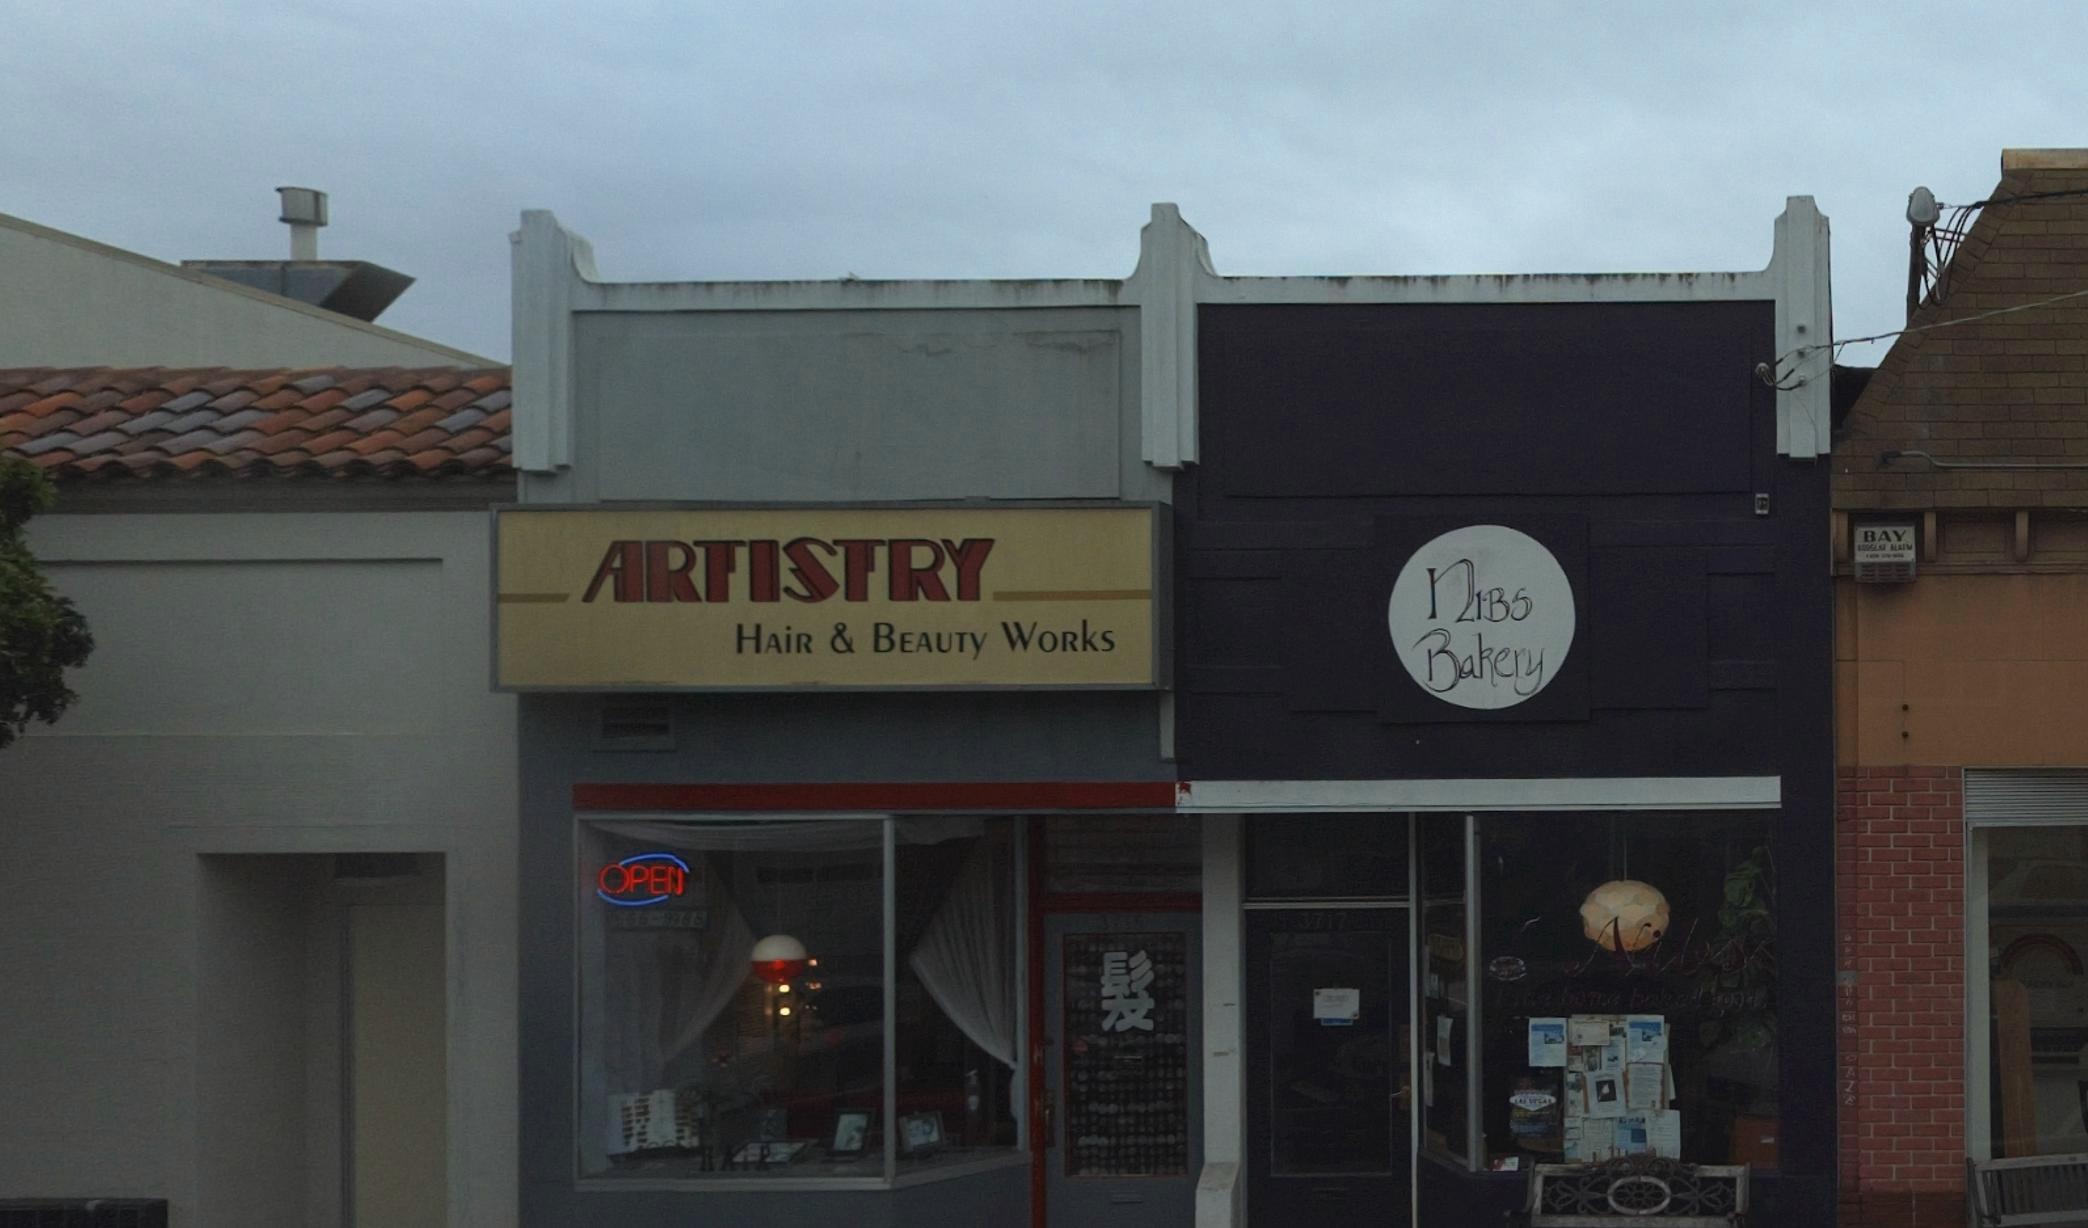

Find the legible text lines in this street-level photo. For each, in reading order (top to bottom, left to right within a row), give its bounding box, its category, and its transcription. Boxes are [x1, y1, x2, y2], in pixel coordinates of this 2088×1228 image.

[1861, 528, 1908, 544] None: BAY
[574, 534, 1000, 607] BusinessName: ARTISTRY
[1422, 554, 1537, 626] BusinessName: nIBS
[731, 615, 1120, 664] BusinessName: HAIR & BEAUTY WORKS
[1408, 624, 1548, 699] BusinessName: Bakery
[595, 861, 689, 899] None: OPEN
[613, 909, 705, 931] None: *66-**88
[1091, 913, 1146, 933] StreetNumber: 3**5
[1294, 911, 1349, 933] StreetNumber: 3717
[1555, 908, 1752, 985] BusinessName: Nibs
[1492, 981, 1771, 1022] None: Fine home baked goods